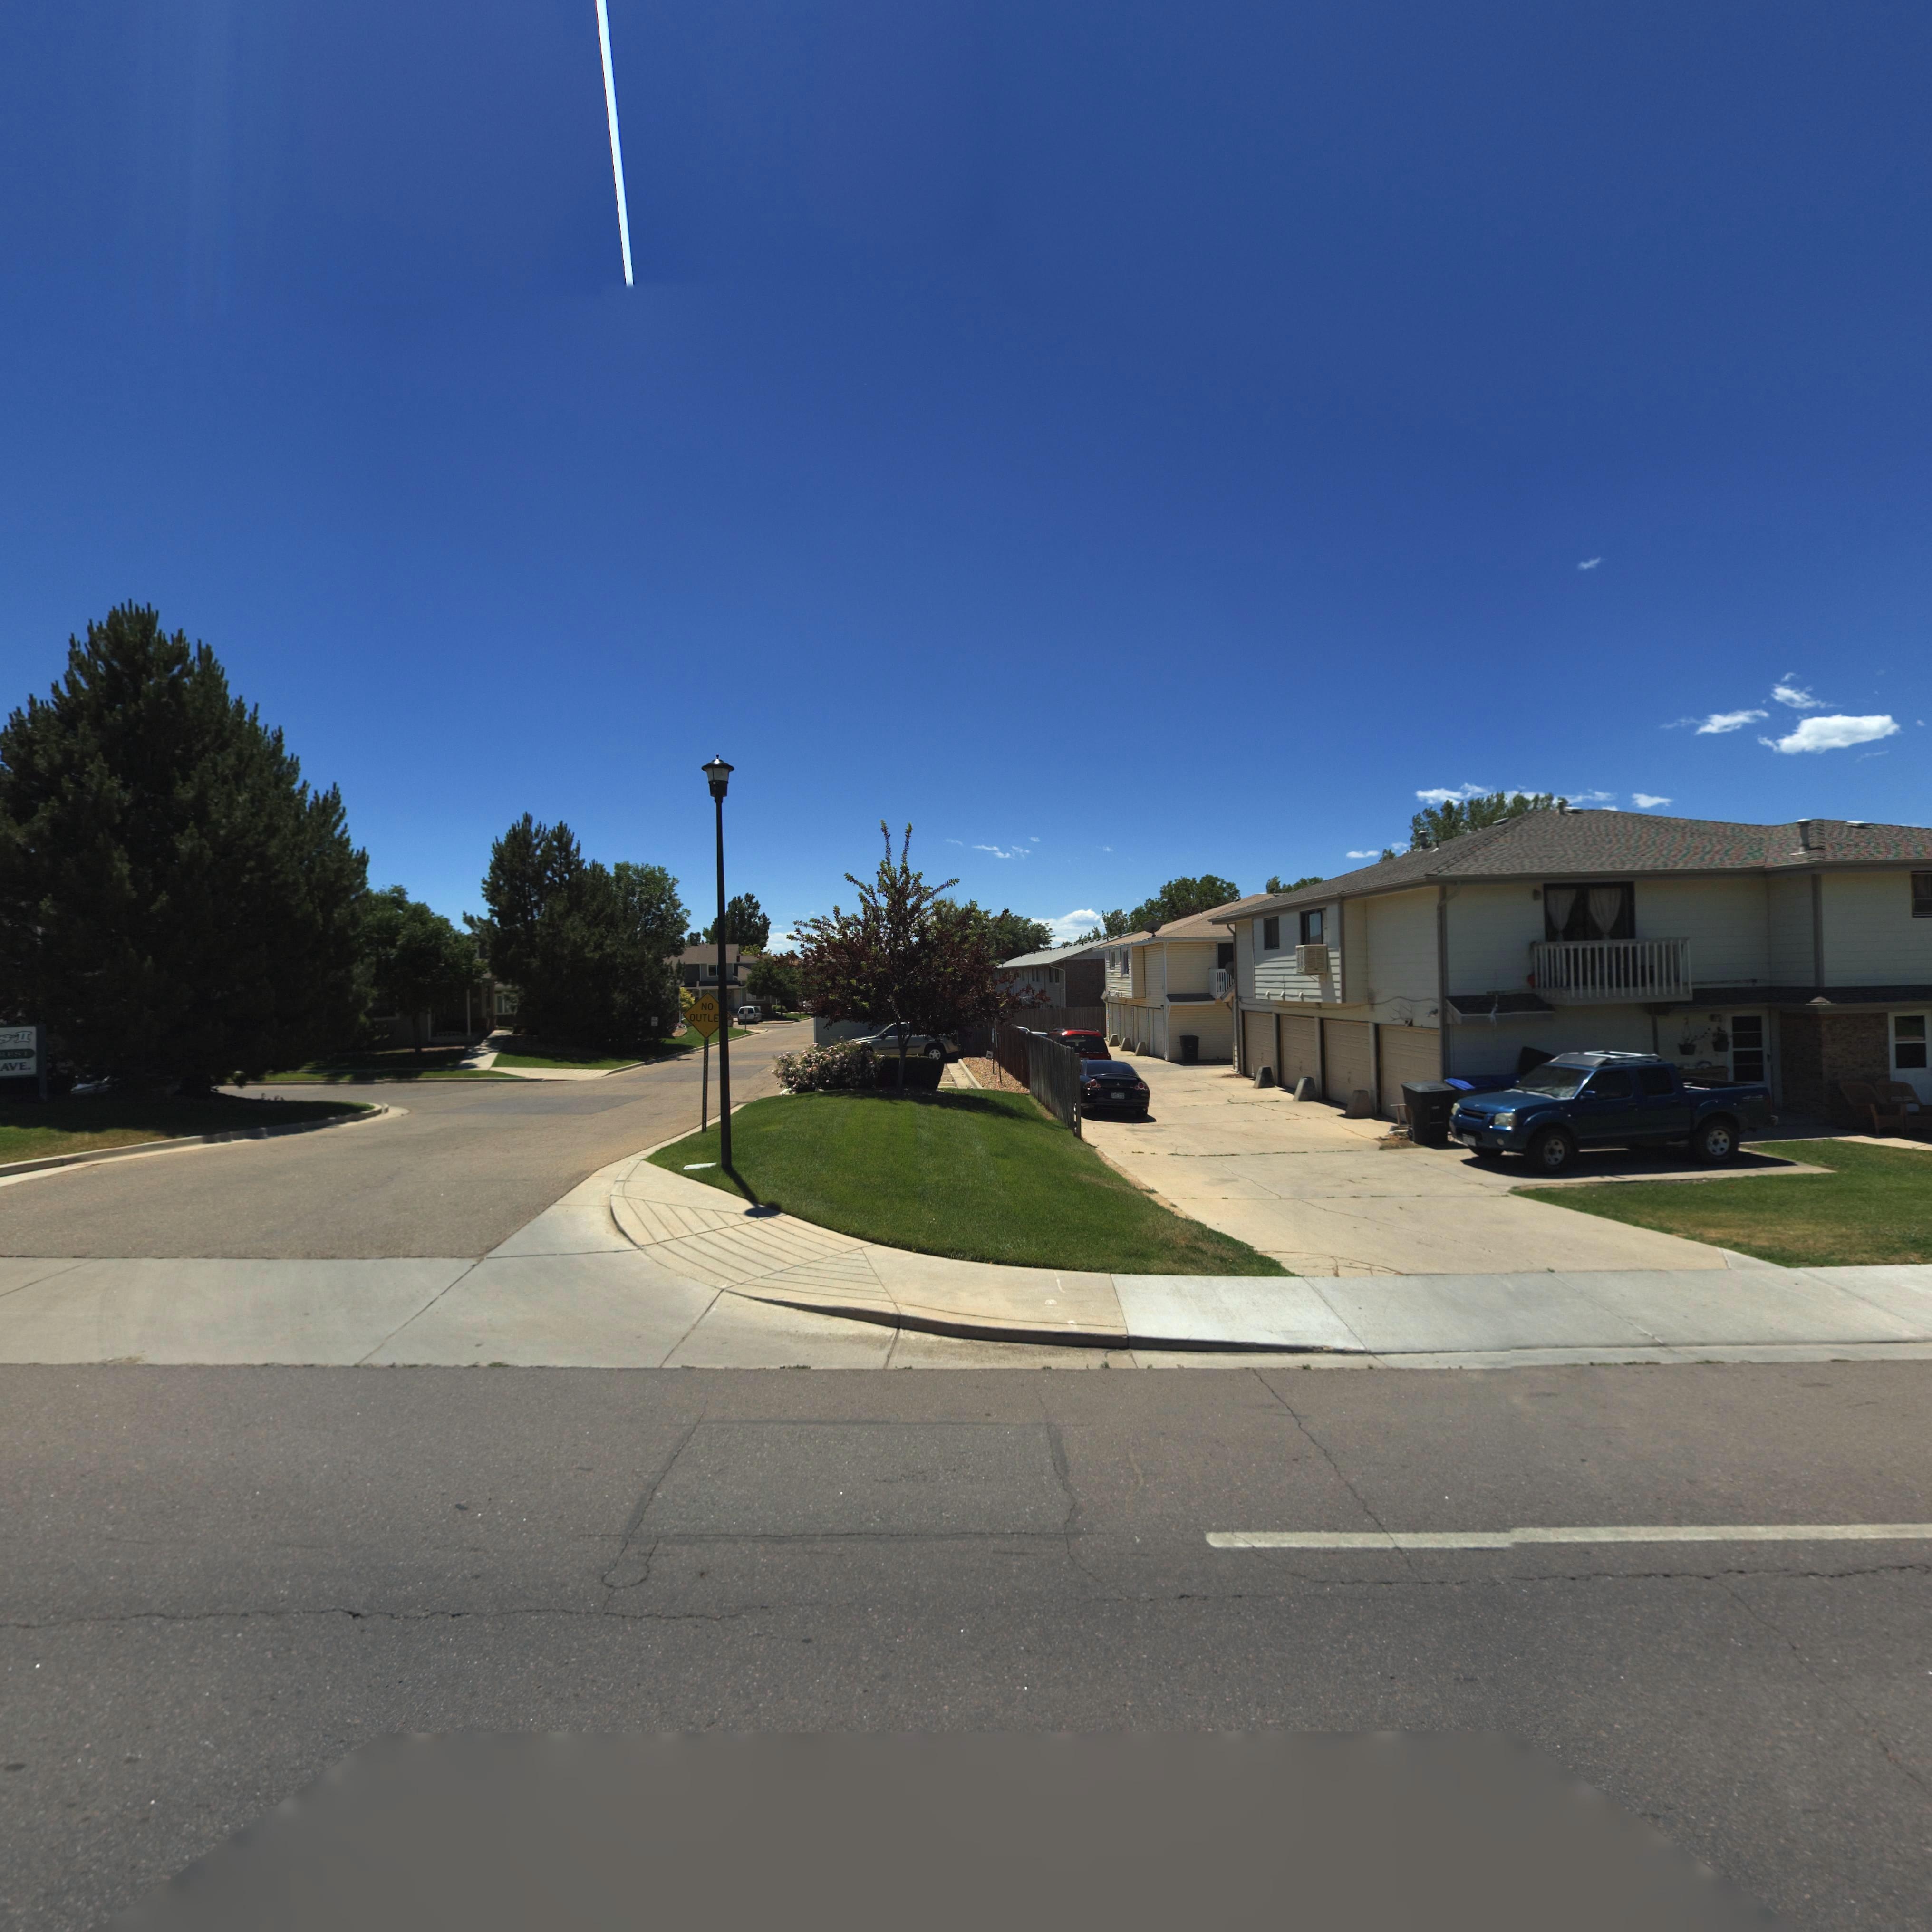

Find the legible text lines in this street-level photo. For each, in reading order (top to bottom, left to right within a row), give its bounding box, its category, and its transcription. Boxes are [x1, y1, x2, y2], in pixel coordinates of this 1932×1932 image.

[0, 1062, 26, 1071] StreetName: AVE